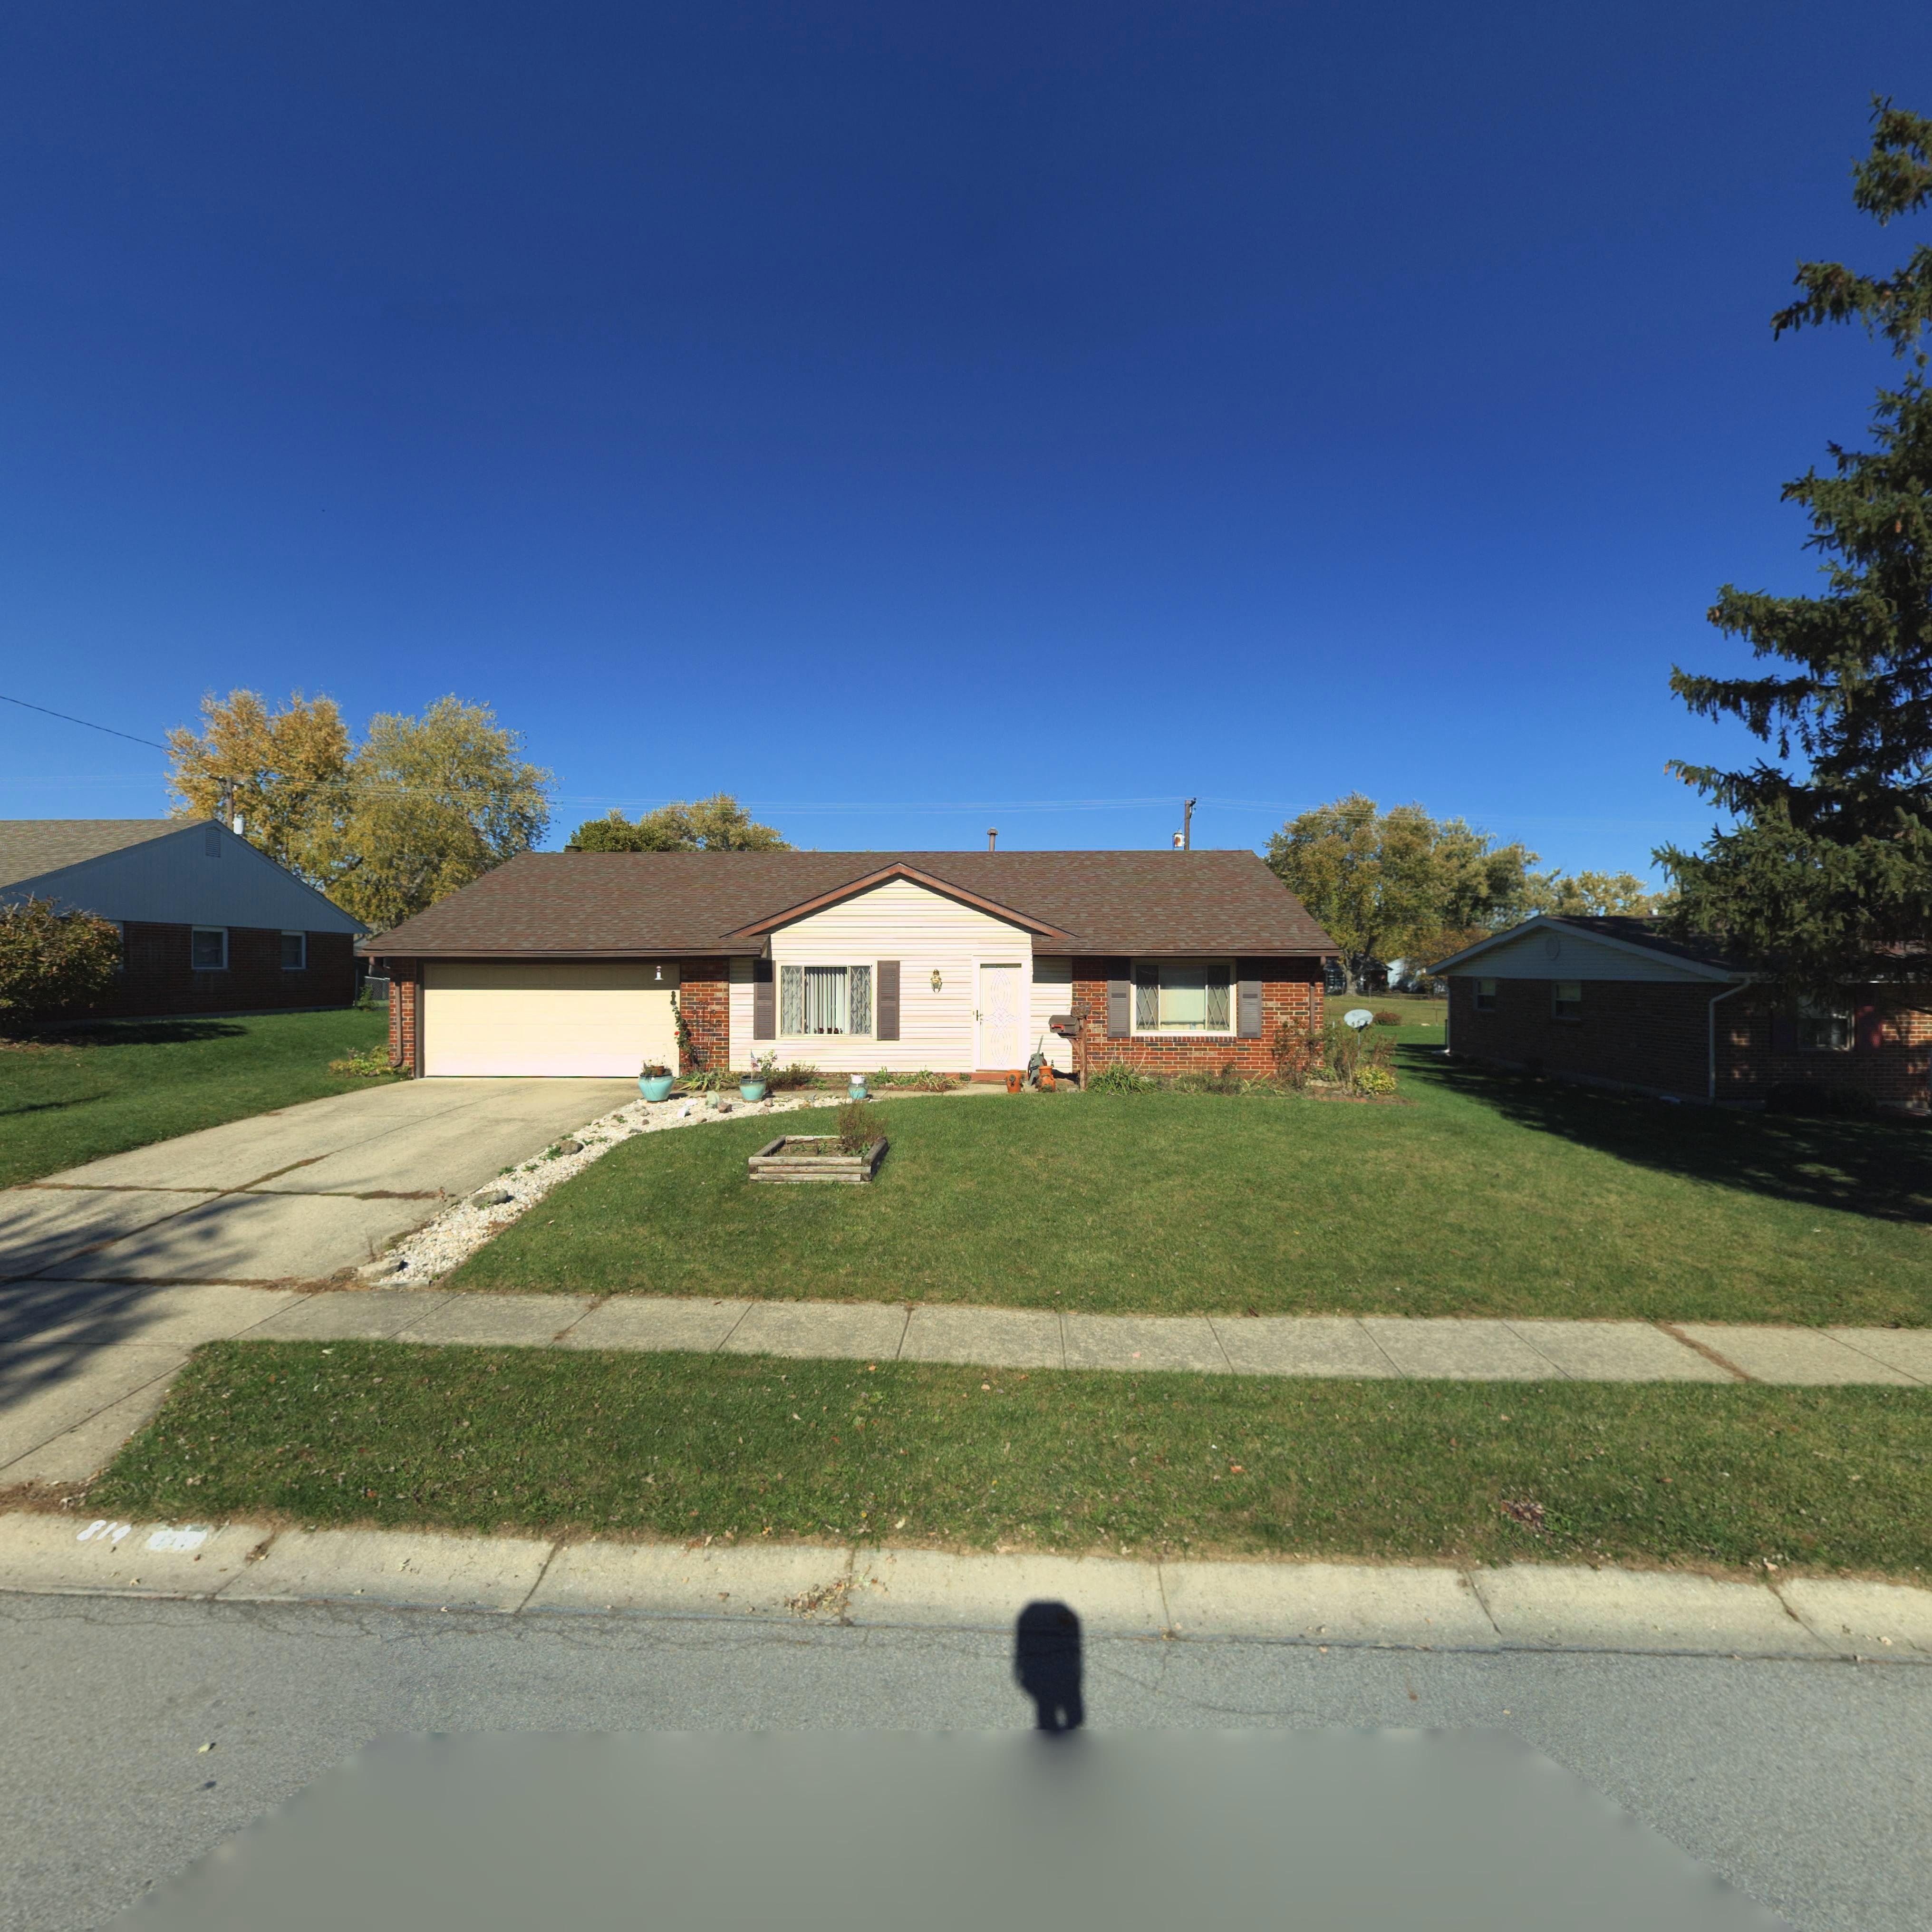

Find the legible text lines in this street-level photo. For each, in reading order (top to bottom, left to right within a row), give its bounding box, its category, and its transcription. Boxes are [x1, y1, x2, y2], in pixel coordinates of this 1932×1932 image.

[1072, 1005, 1087, 1016] StreetNumber: 814
[75, 1518, 132, 1545] StreetNumber: 814